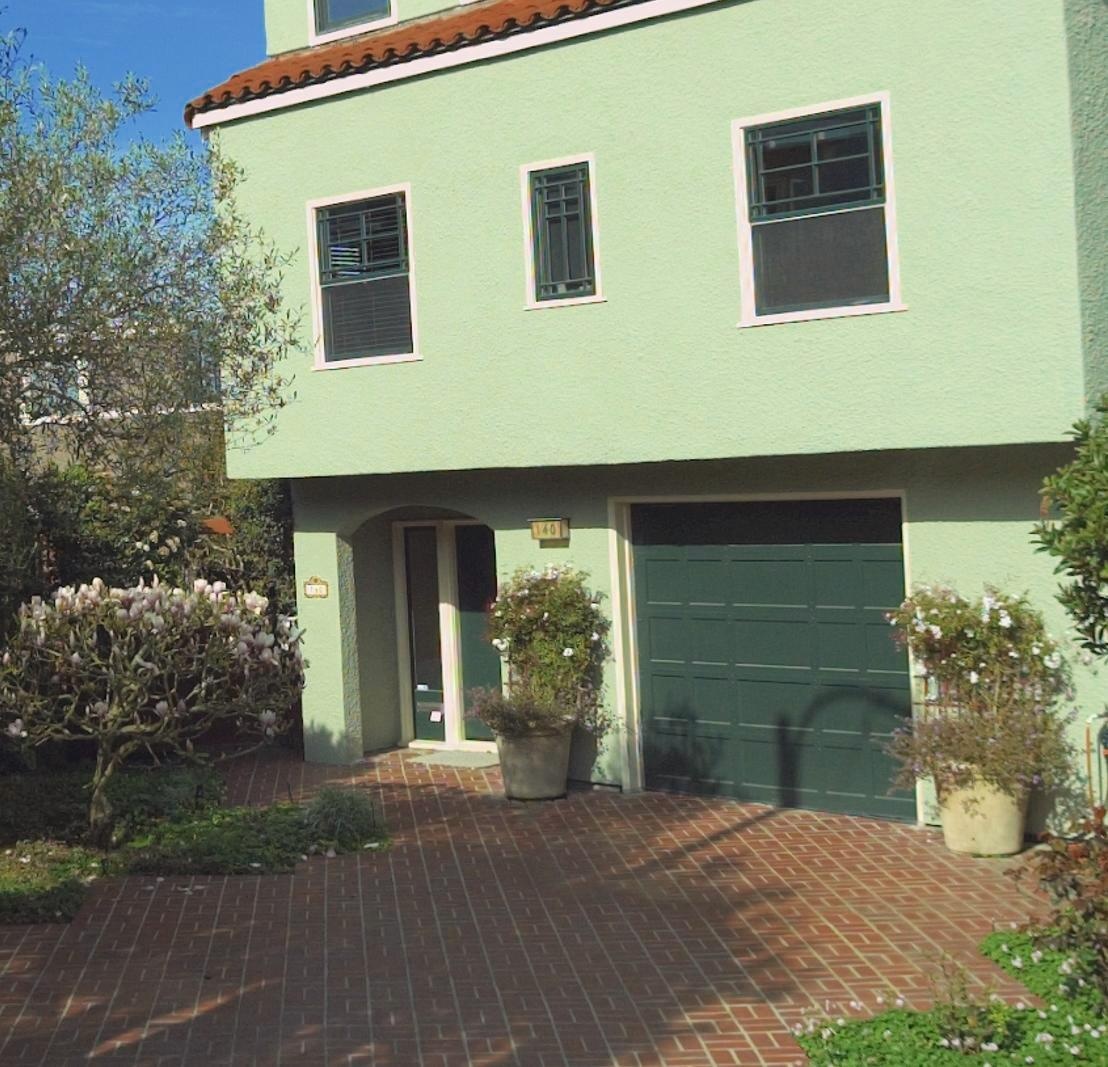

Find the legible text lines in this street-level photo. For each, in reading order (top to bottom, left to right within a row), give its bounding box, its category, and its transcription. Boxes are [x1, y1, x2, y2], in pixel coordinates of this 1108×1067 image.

[533, 523, 559, 536] StreetNumber: 140